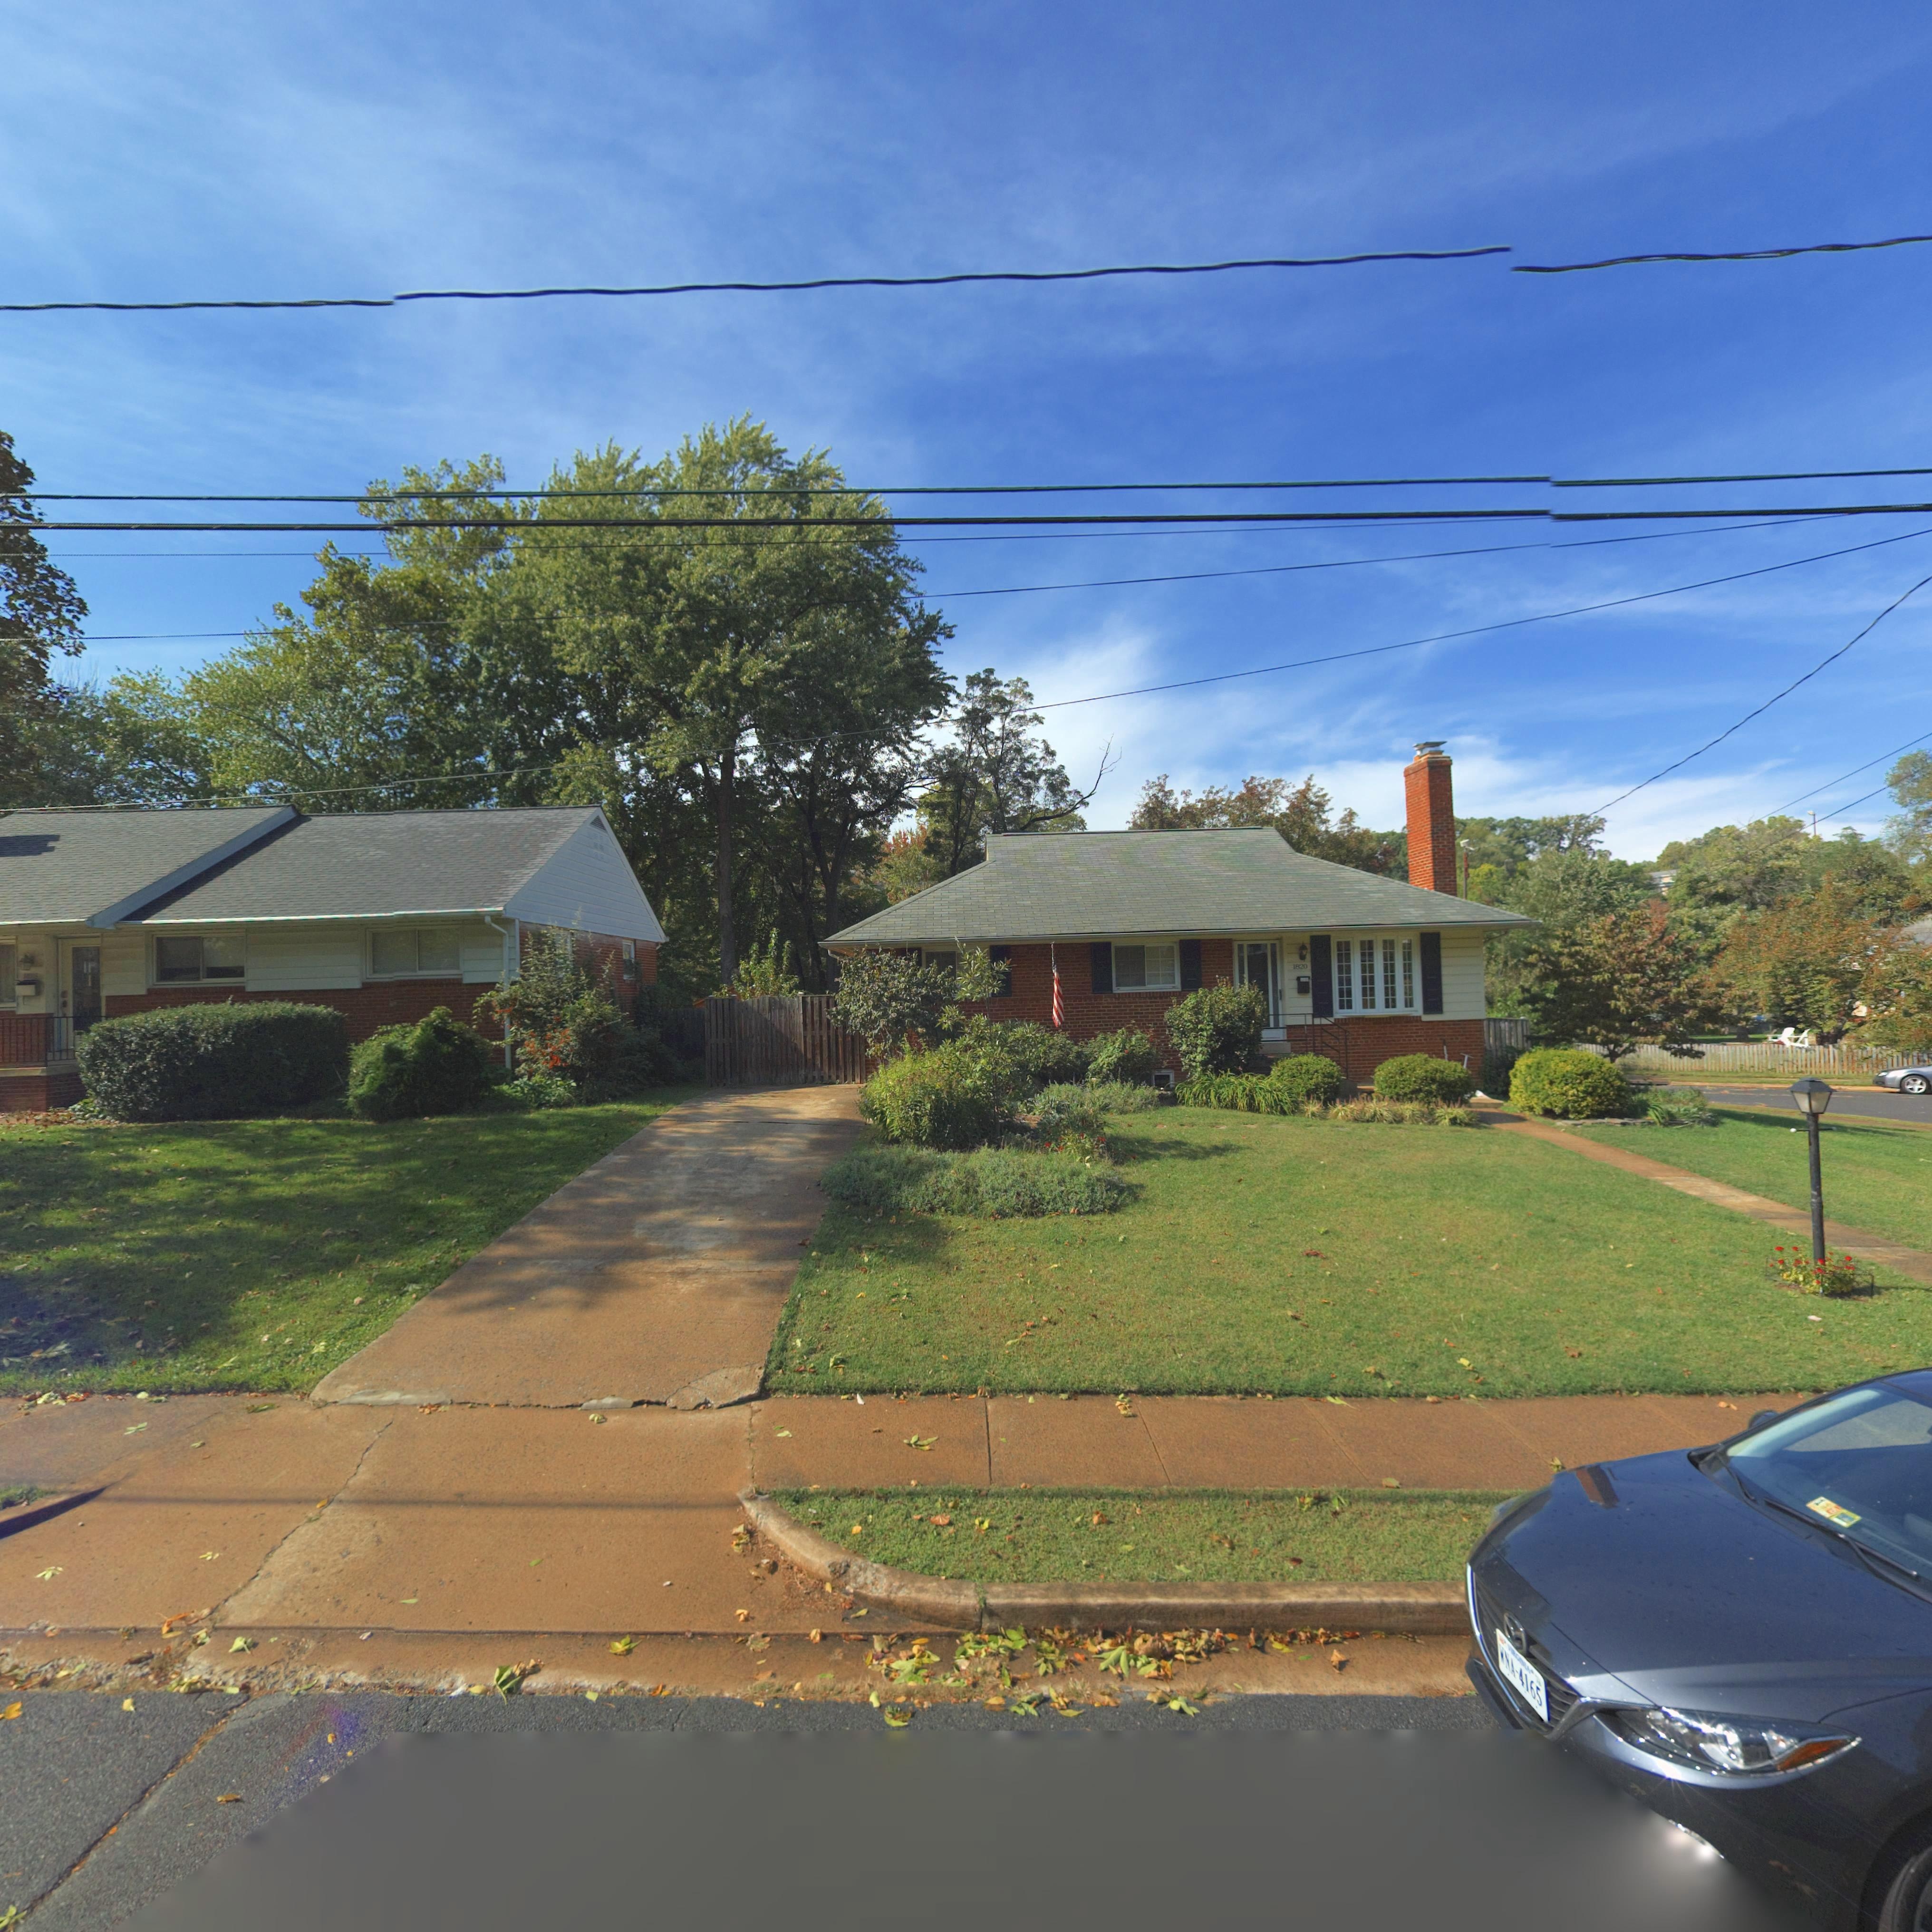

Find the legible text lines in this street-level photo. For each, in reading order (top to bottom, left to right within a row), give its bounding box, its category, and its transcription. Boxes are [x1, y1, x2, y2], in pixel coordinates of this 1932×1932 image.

[21, 972, 41, 980] StreetNumber: 18*5
[1292, 963, 1308, 970] StreetNumber: 1820
[1507, 1642, 1531, 1676] None: VIRGINIA
[1499, 1644, 1542, 1708] None: WNA-4165